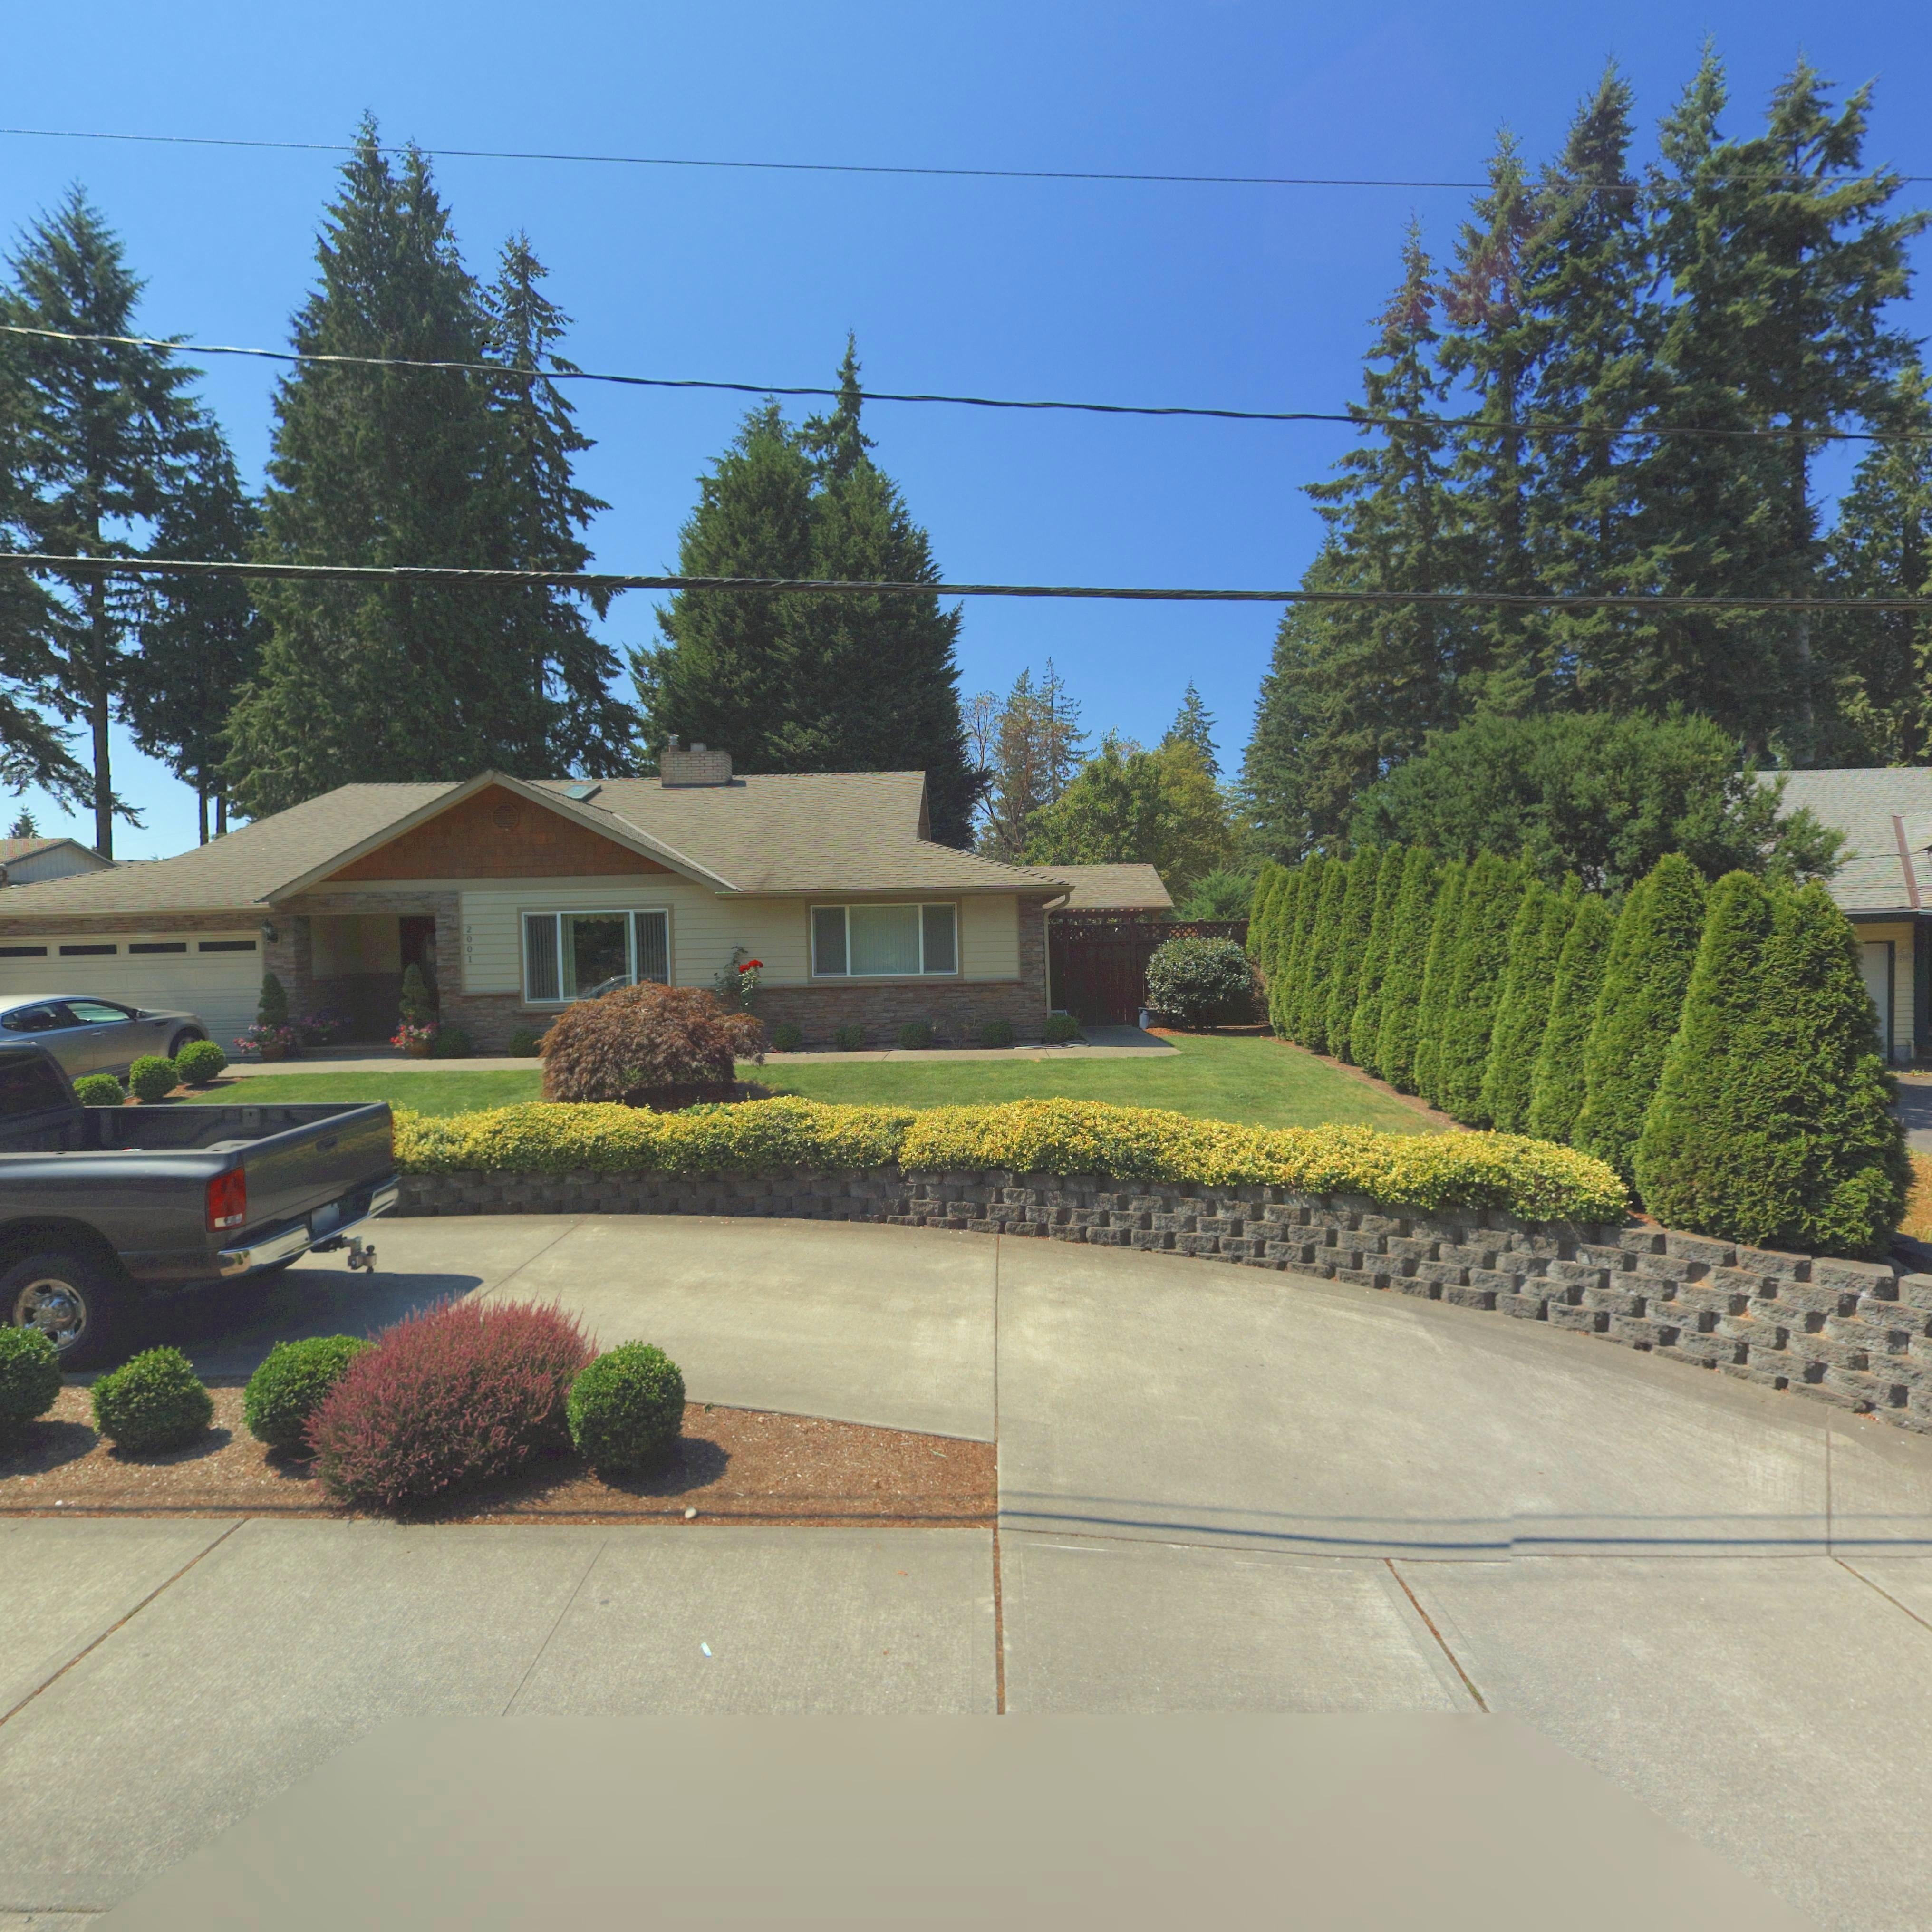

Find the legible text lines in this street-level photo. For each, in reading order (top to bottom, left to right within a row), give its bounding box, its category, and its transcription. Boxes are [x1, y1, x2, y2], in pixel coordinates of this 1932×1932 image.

[467, 926, 473, 963] StreetNumber: 2001